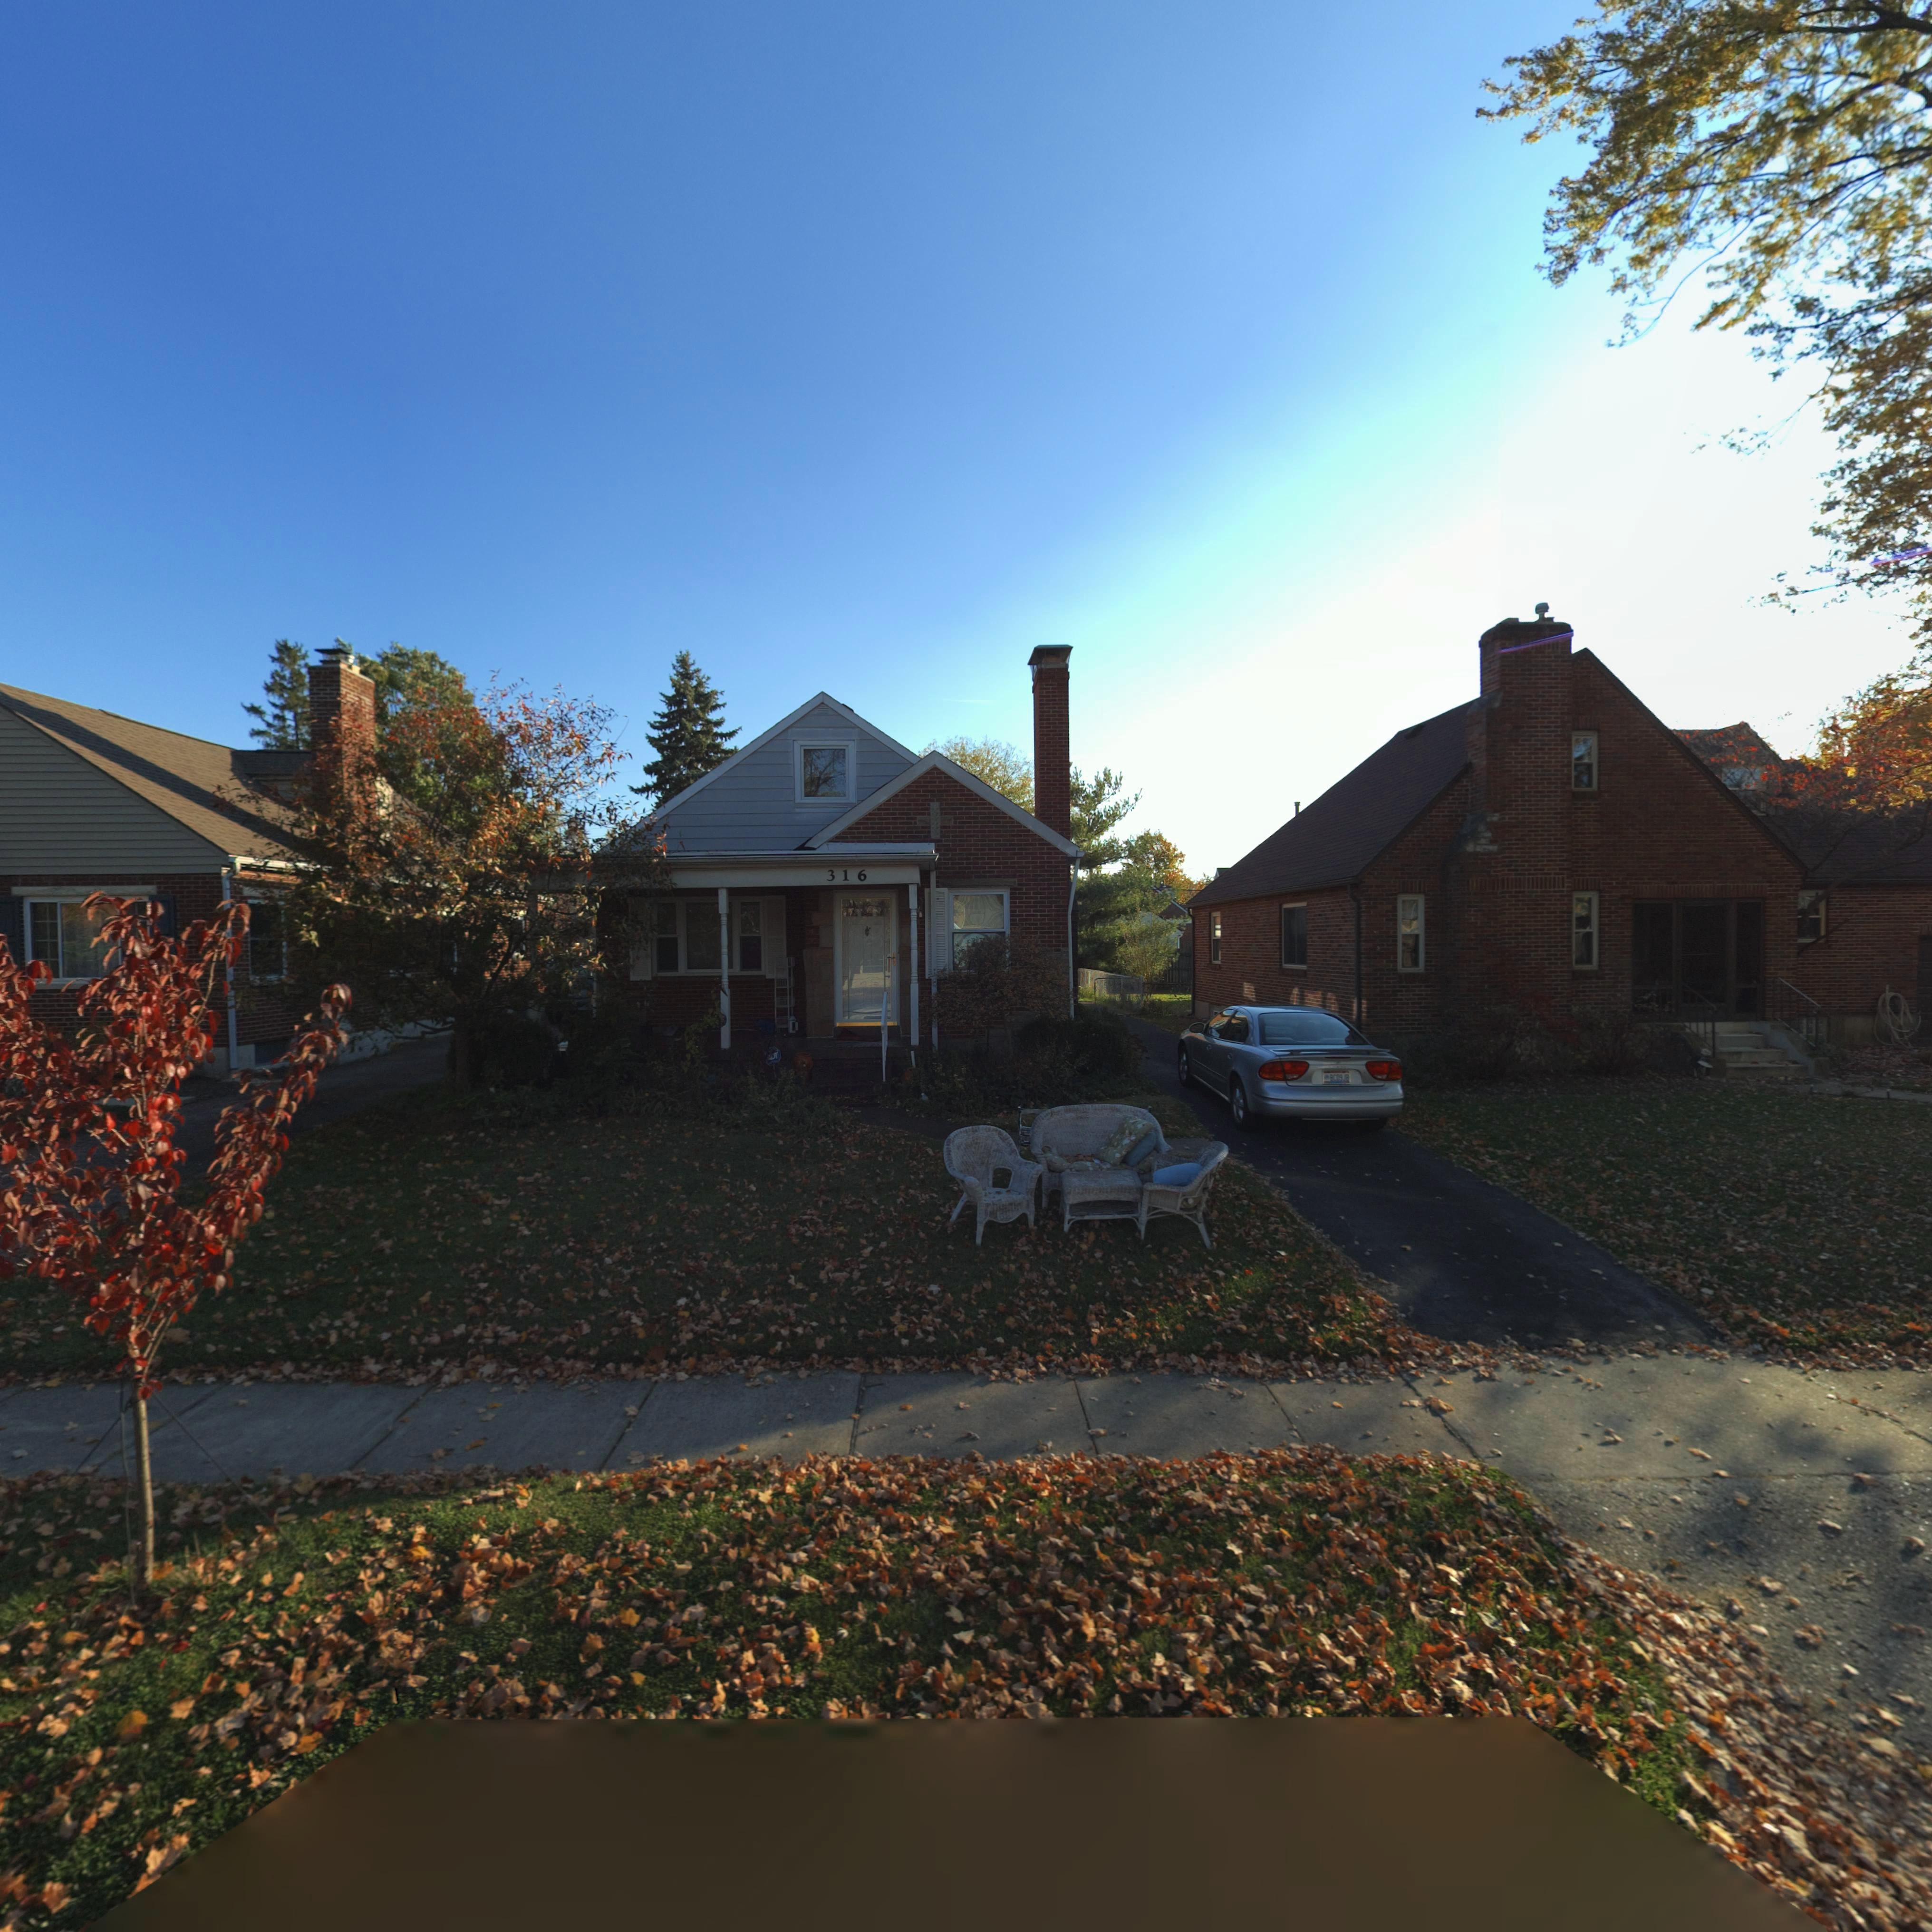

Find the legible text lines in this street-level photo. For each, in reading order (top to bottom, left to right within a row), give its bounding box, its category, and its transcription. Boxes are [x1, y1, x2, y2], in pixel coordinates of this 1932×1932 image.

[826, 868, 869, 883] StreetNumber: 316